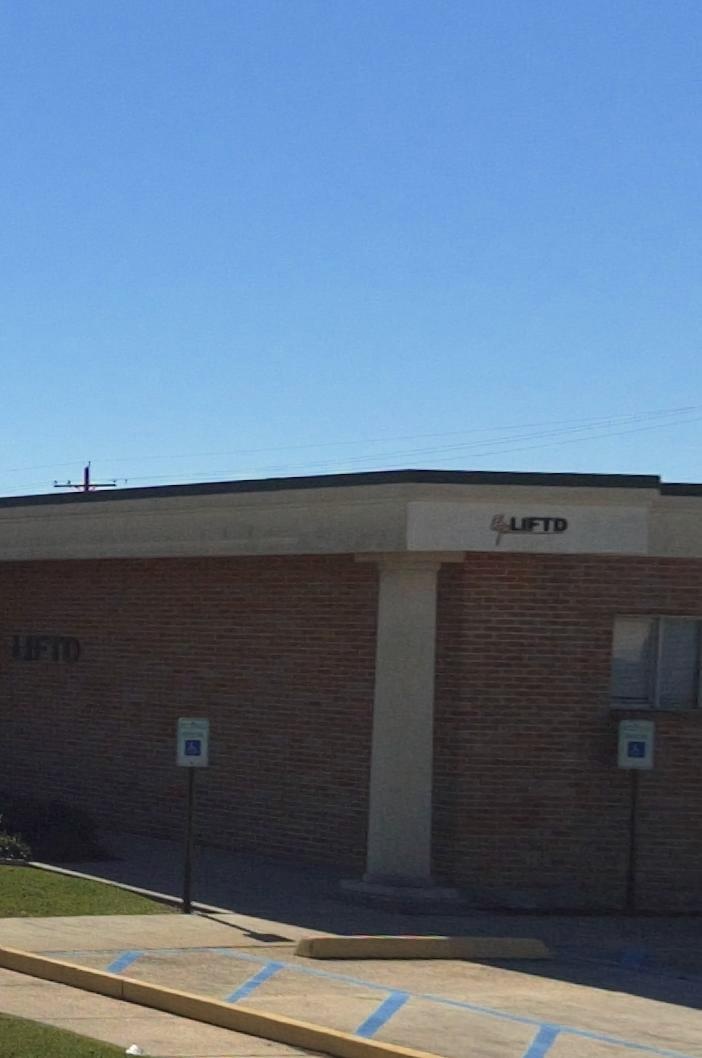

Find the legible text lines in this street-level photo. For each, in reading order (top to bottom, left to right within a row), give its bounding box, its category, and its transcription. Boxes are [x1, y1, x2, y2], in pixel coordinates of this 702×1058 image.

[508, 514, 571, 535] BusinessName: LIFTD
[8, 631, 84, 667] BusinessName: LIFTD